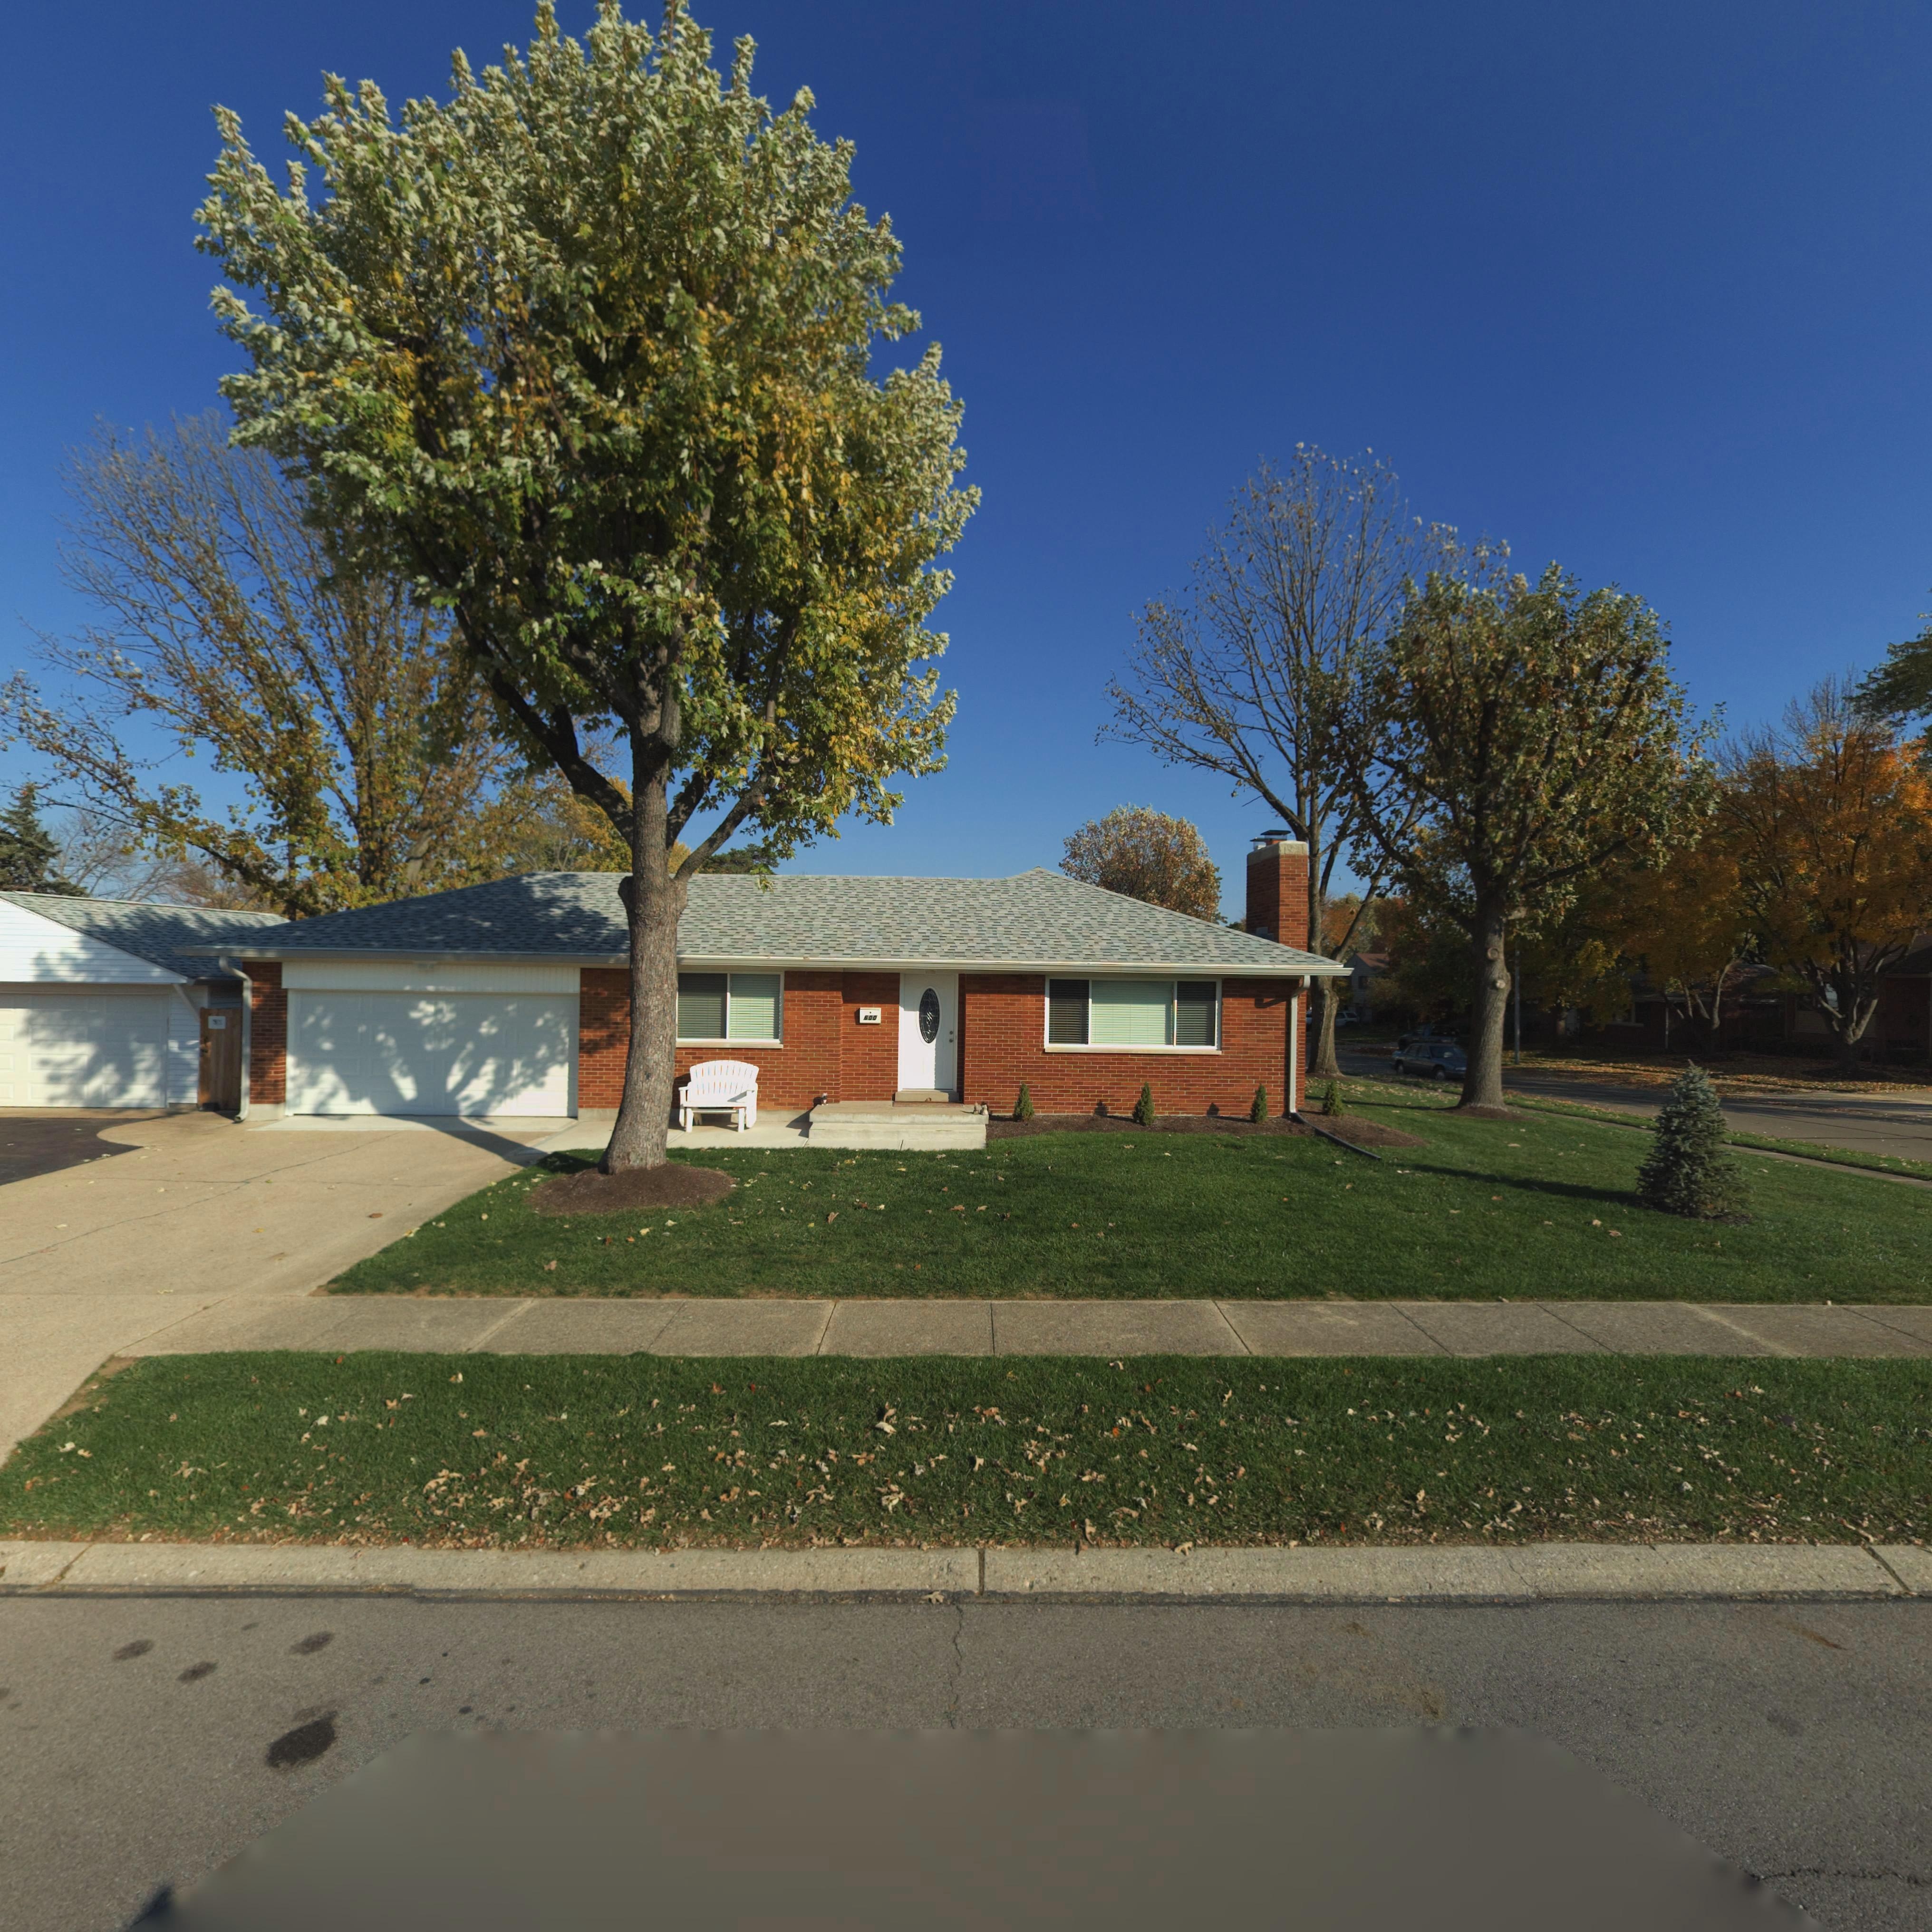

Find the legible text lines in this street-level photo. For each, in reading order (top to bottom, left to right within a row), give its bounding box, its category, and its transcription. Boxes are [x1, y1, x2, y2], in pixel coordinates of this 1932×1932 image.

[863, 1015, 878, 1021] StreetNumber: 600